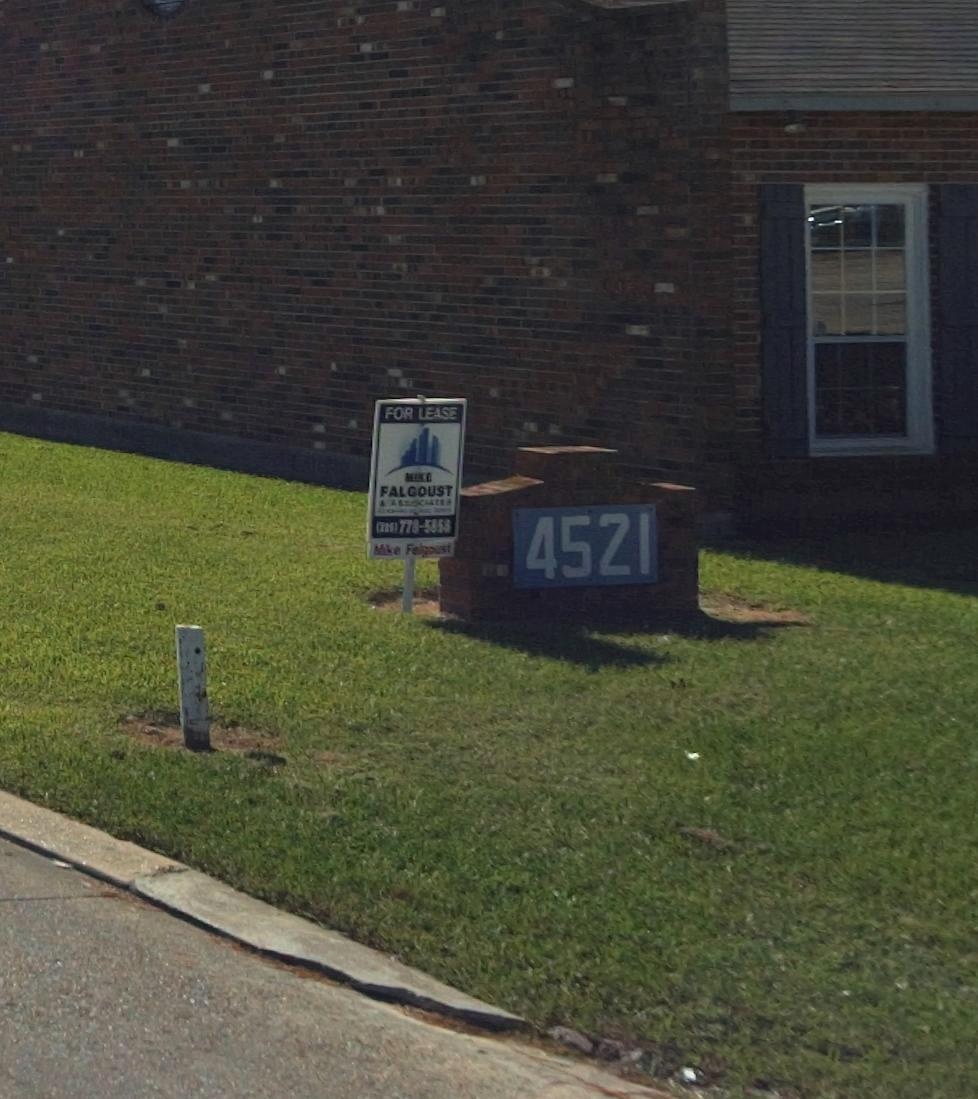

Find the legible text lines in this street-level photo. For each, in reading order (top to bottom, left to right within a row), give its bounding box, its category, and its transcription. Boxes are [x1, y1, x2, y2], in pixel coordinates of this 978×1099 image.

[382, 404, 460, 423] None: FOR LEASE
[377, 482, 456, 501] None: FALGOUST
[396, 517, 454, 537] None: 778-5858
[369, 537, 457, 563] None: Mike Falgo*st
[523, 510, 652, 582] StreetNumber: 4521